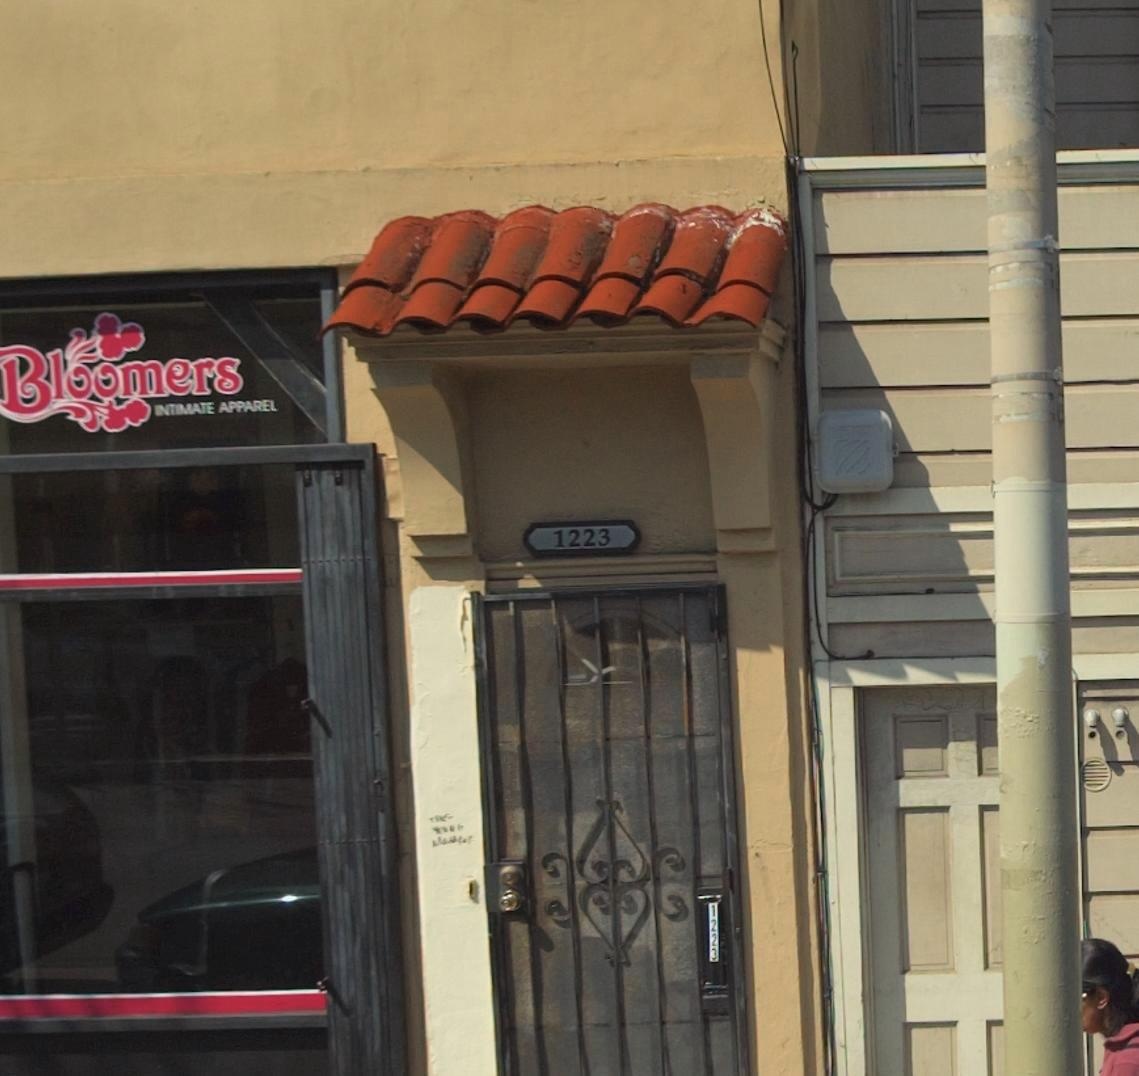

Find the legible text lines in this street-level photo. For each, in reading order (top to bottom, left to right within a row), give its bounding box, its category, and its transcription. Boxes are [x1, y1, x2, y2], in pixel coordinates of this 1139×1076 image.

[0, 345, 246, 416] BusinessName: Bloomers
[152, 399, 279, 417] None: INTIMATE APPAREL
[551, 526, 613, 549] StreetNumber: 1223